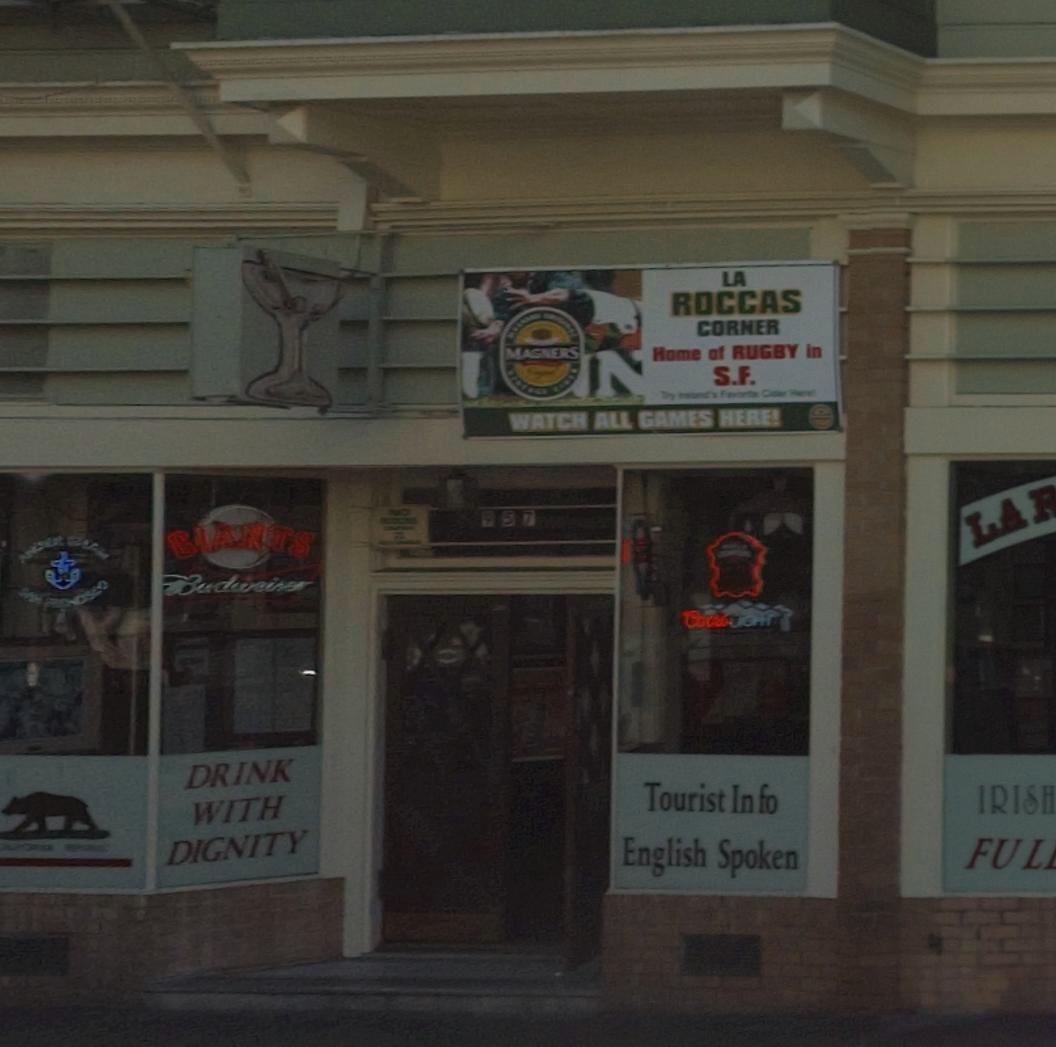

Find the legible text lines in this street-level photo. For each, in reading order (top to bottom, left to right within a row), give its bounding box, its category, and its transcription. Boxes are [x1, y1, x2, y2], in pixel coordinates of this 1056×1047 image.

[720, 269, 748, 288] BusinessName: LA
[669, 288, 805, 318] BusinessName: ROCCAS
[694, 317, 782, 338] BusinessName: CORNER
[504, 344, 579, 361] None: MAGNERS
[651, 341, 823, 363] None: Home of RUGBY in
[712, 364, 757, 388] None: S.F.
[504, 404, 783, 435] None: WATCH ALL GAMES HERE!
[480, 509, 536, 528] StreetNumber: 957
[960, 492, 1033, 550] BusinessName: LA
[159, 517, 322, 564] None: GIANTS
[163, 570, 318, 598] None: Budweiser
[682, 607, 774, 630] None: Coors lIGHT
[182, 757, 295, 790] None: DRINK
[190, 791, 288, 829] None: WITH
[641, 778, 780, 815] None: Tourist Info
[976, 779, 1056, 817] None: IRISH
[165, 825, 313, 869] None: DIGNITY
[619, 835, 799, 880] None: English Spoken
[961, 834, 1047, 872] None: FUL